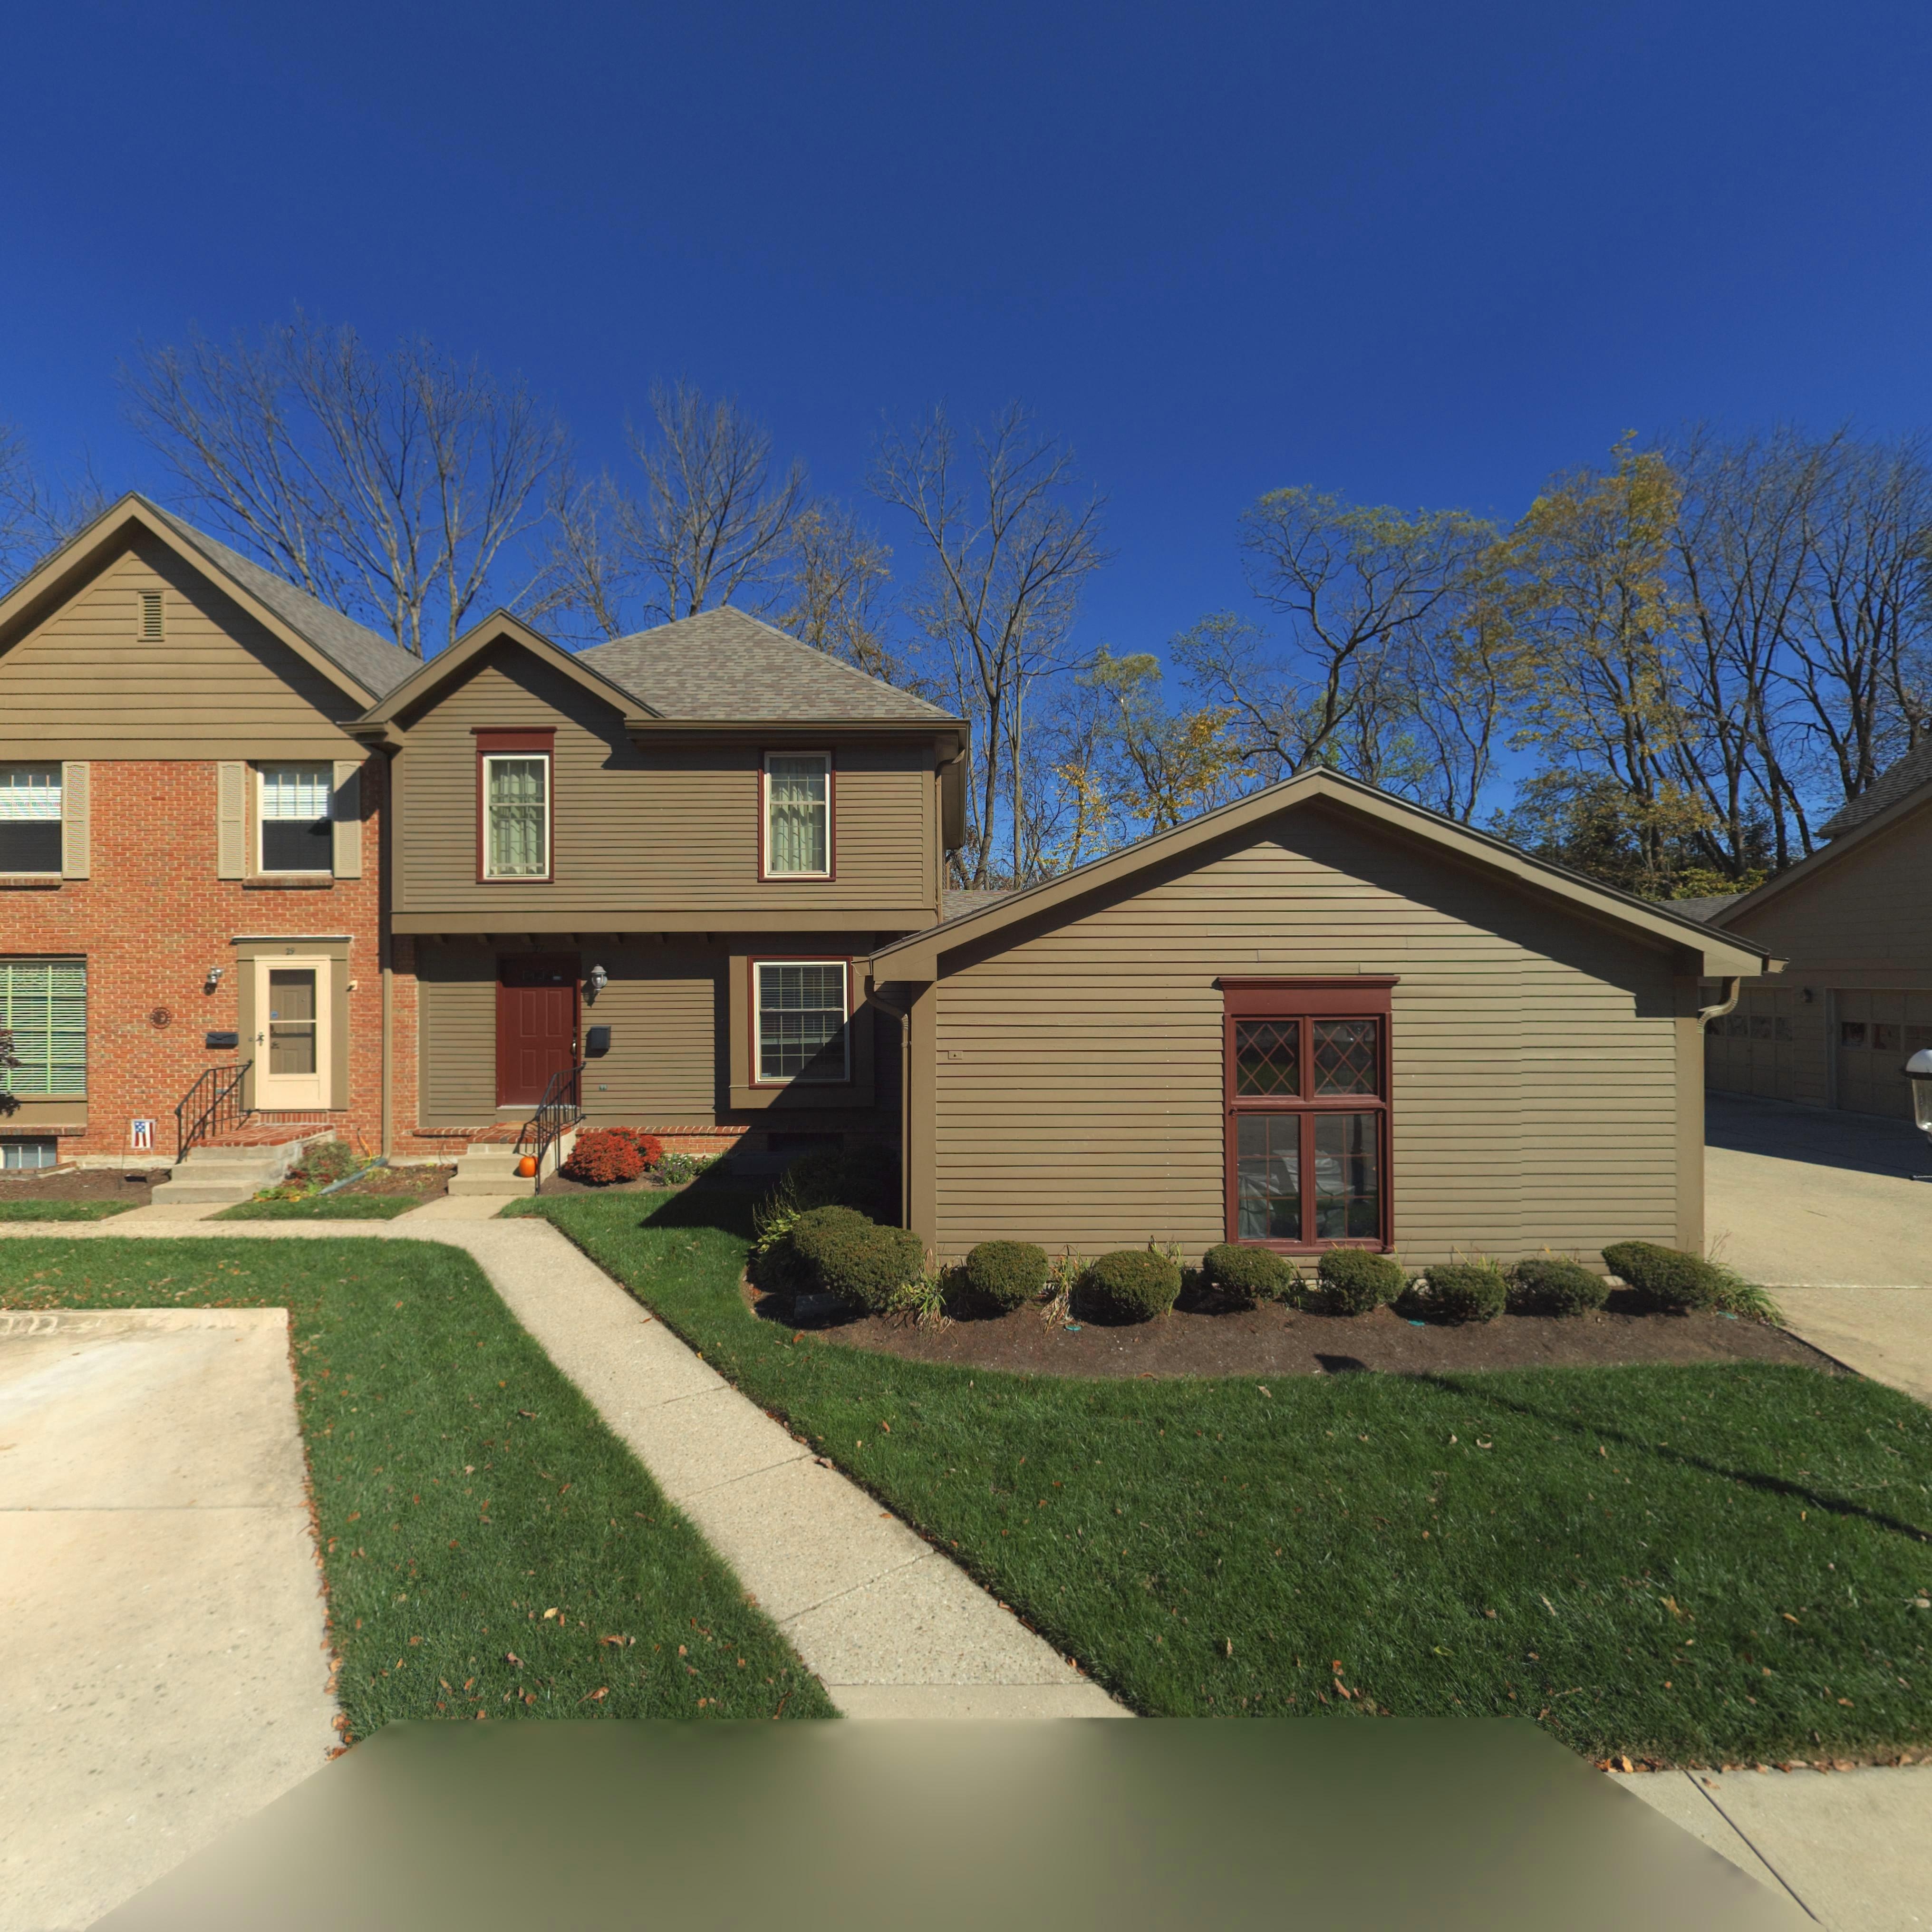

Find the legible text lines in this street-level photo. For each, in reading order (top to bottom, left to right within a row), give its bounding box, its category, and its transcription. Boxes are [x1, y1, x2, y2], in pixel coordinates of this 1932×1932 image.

[285, 947, 295, 956] StreetNumber: 29
[532, 945, 544, 952] StreetNumber: 27